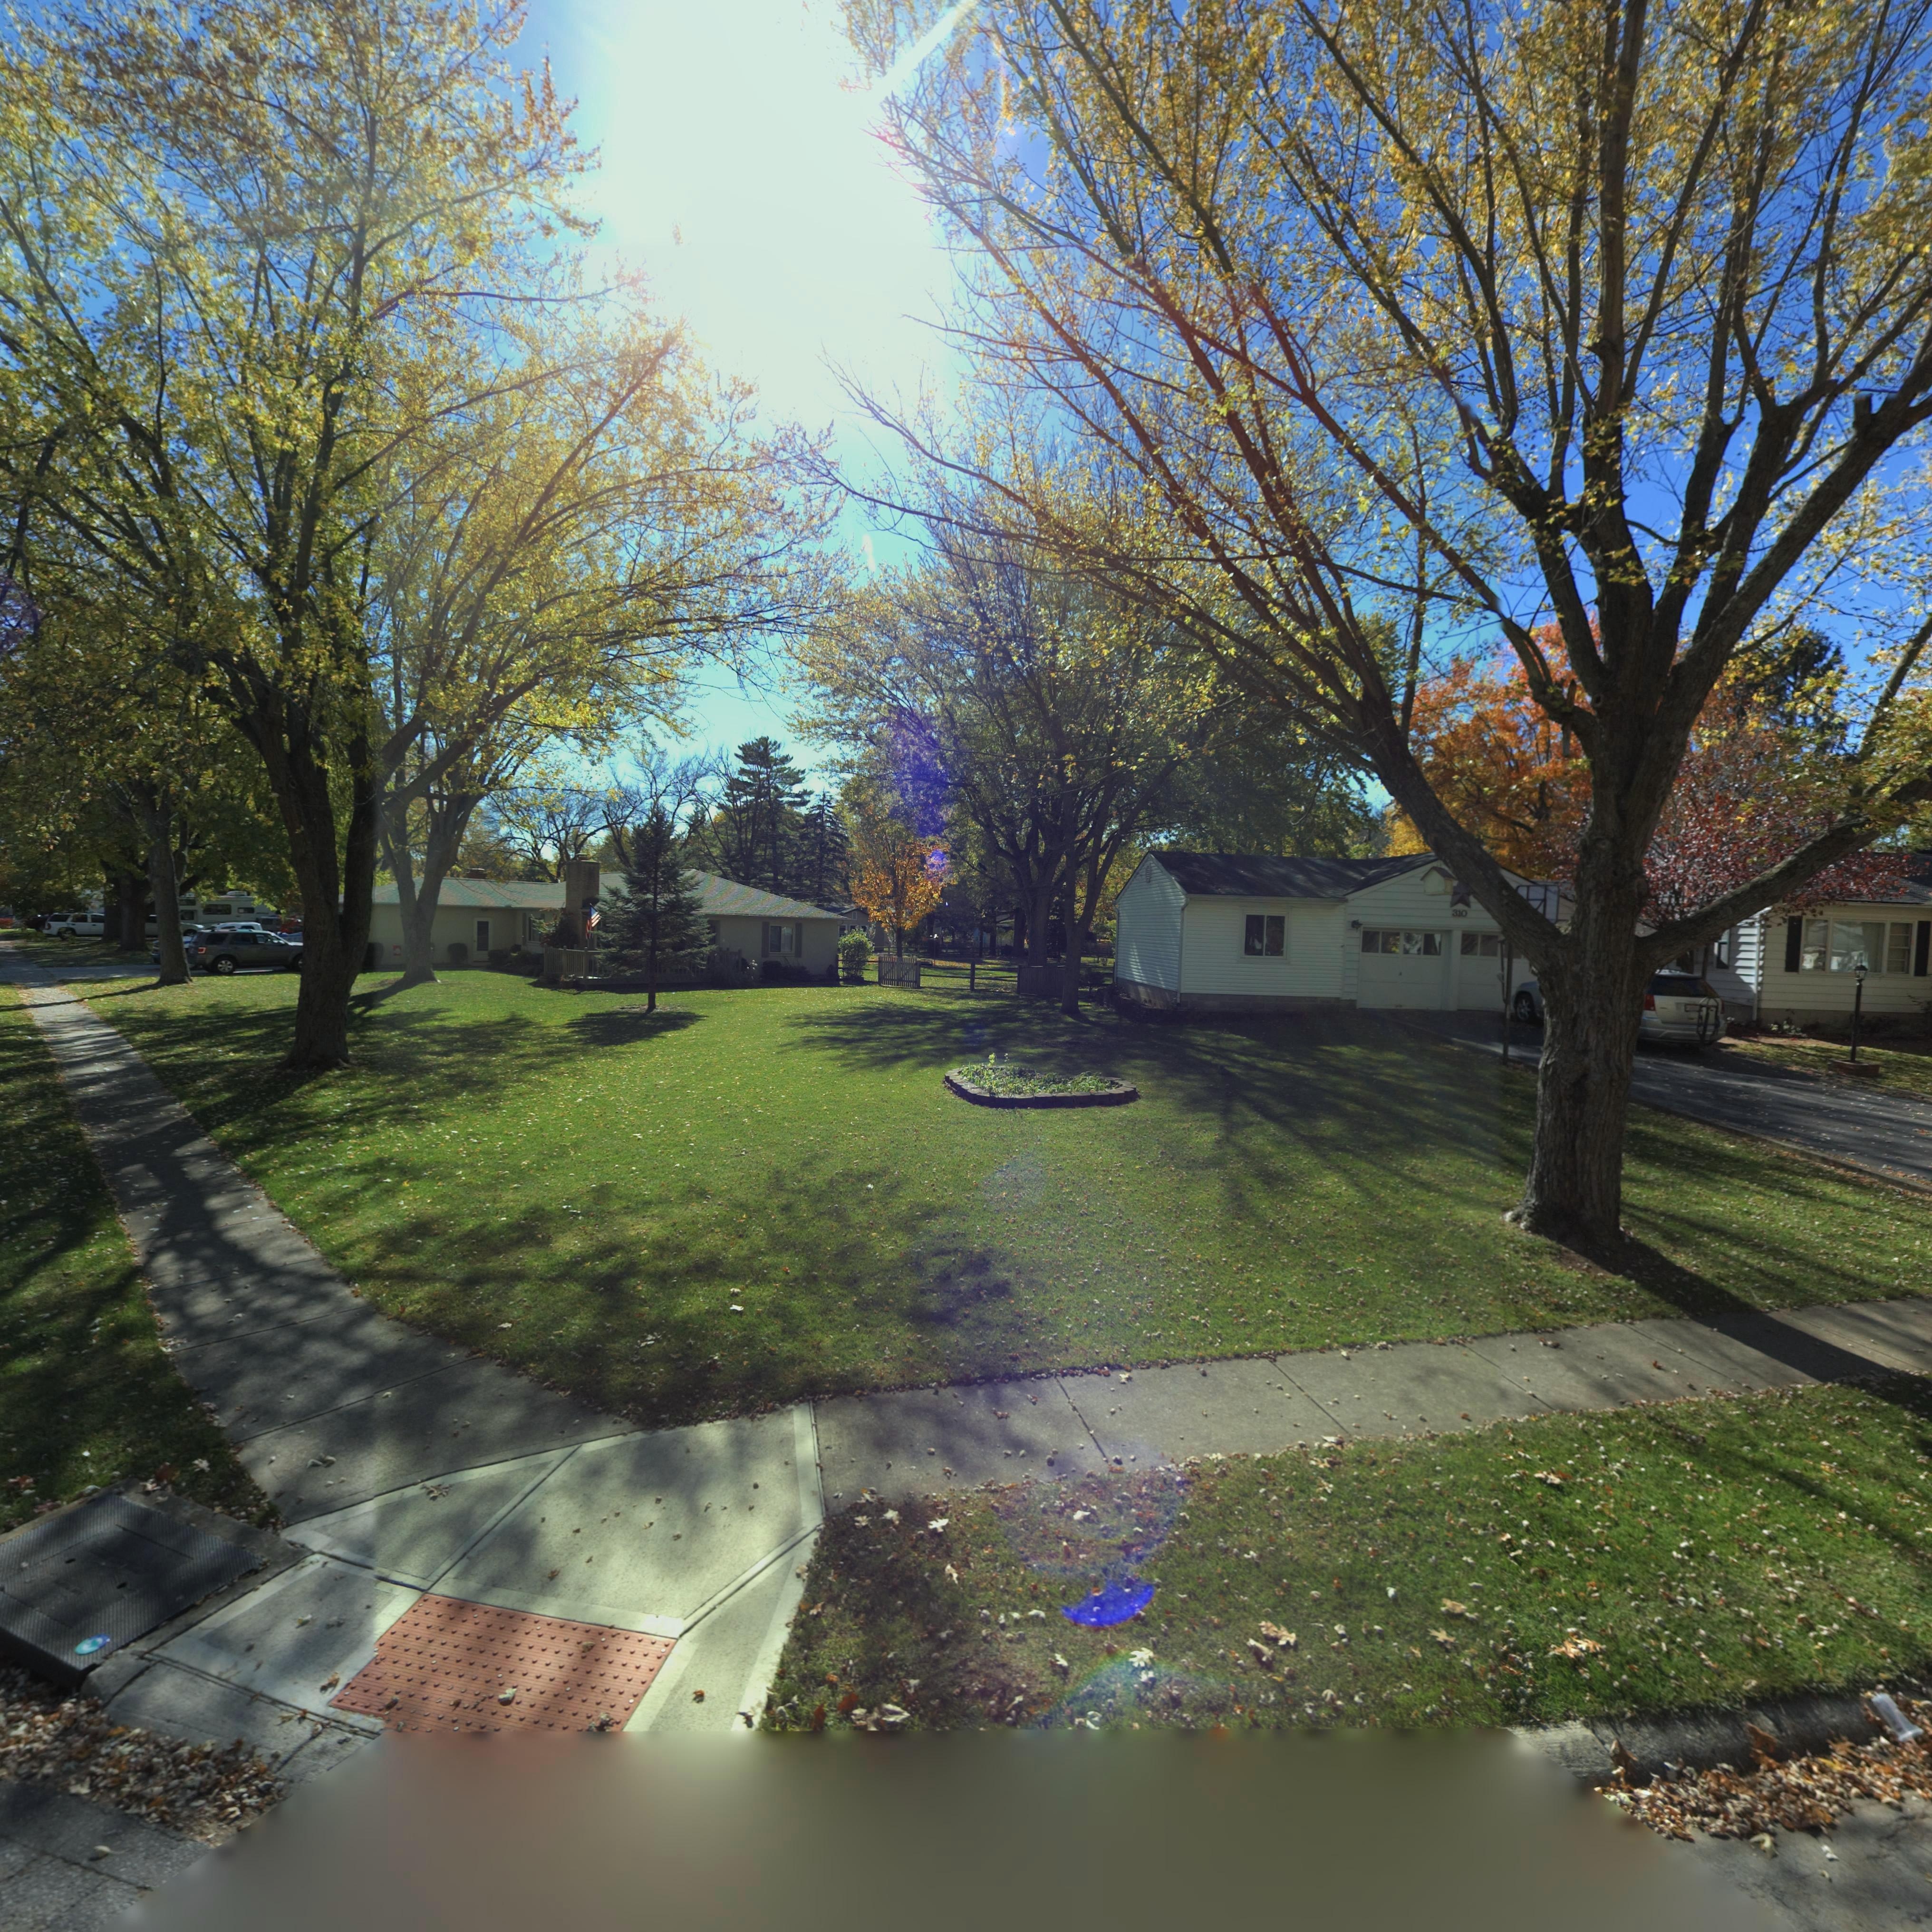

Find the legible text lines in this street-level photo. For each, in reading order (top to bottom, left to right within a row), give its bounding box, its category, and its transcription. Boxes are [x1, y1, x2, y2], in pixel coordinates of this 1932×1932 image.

[1451, 908, 1469, 918] StreetNumber: 310